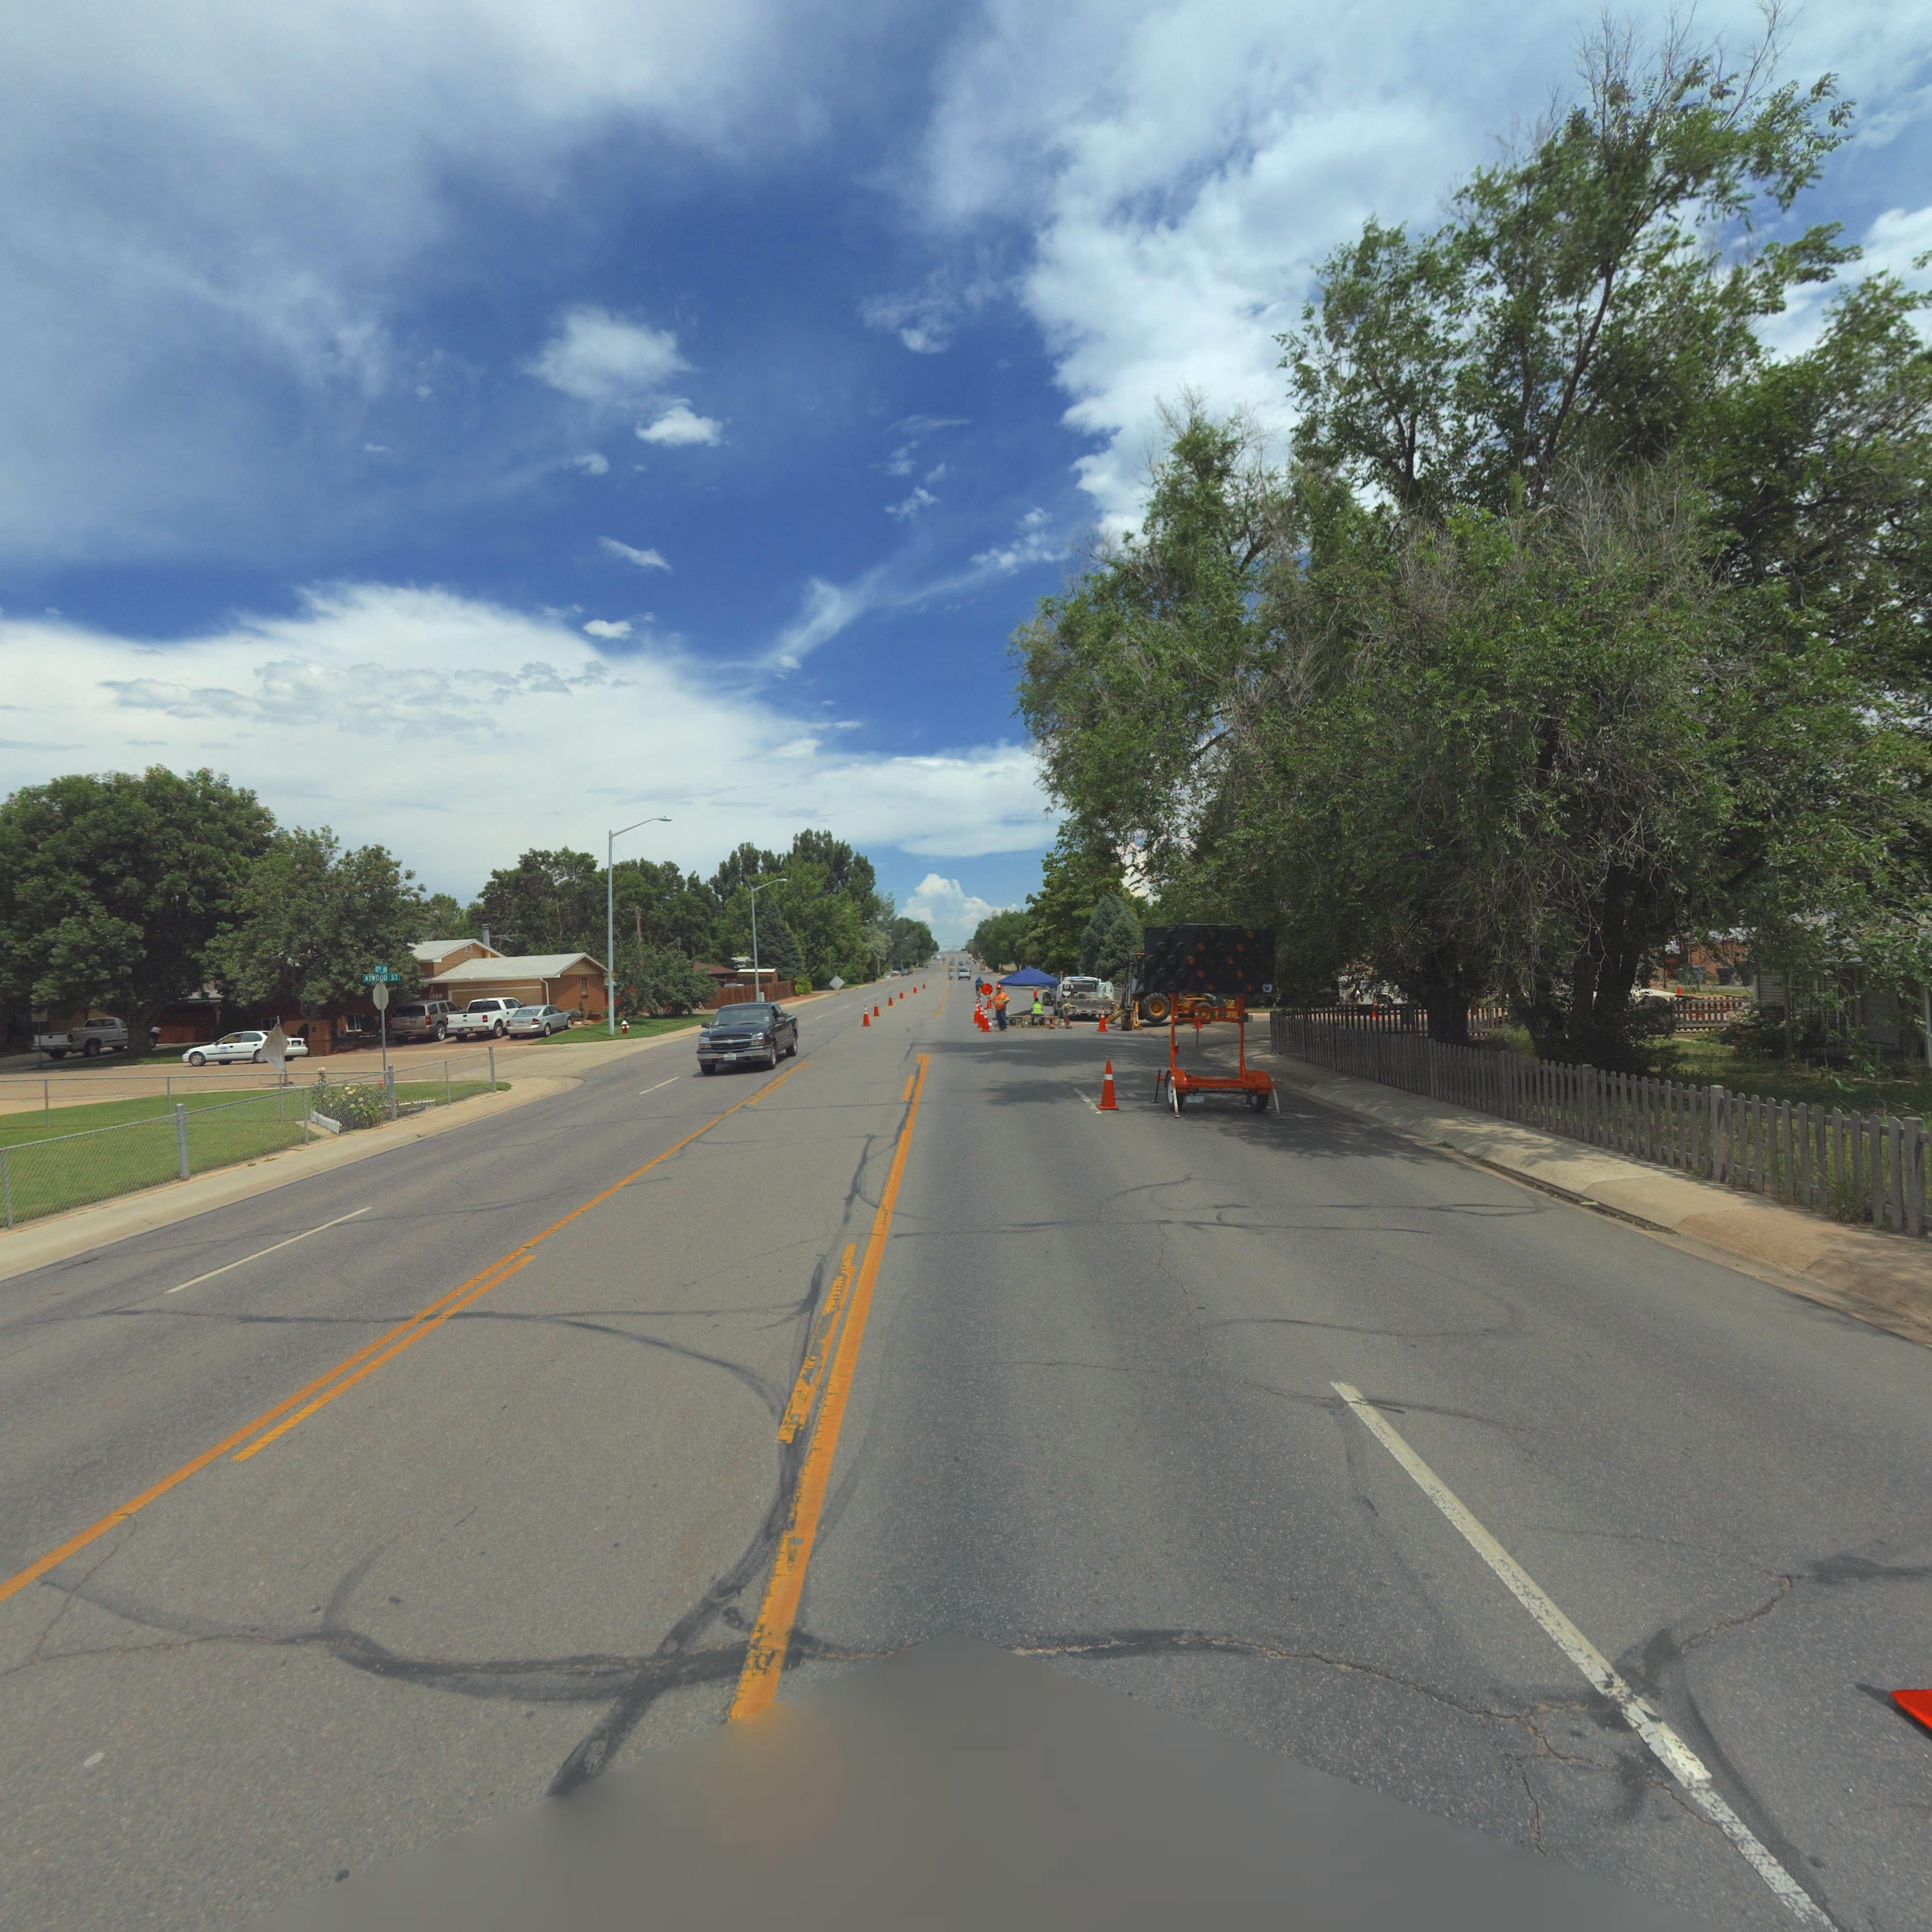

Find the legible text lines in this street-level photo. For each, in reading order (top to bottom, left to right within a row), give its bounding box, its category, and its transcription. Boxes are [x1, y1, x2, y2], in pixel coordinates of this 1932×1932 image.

[375, 966, 379, 972] StreetName: 17
[364, 973, 398, 981] StreetName: ATWOOD ST
[429, 994, 443, 999] StreetNumber: 1702